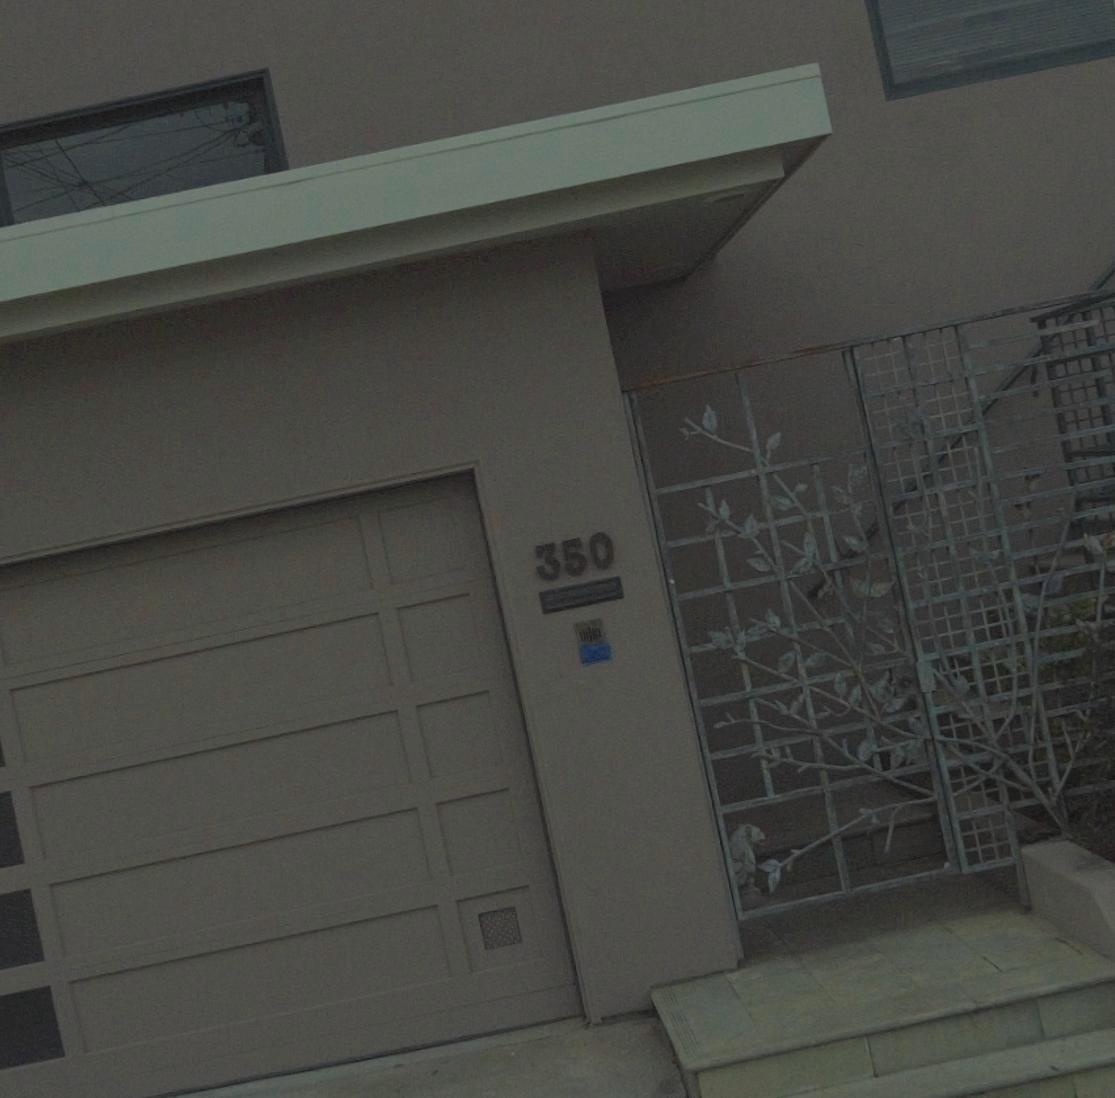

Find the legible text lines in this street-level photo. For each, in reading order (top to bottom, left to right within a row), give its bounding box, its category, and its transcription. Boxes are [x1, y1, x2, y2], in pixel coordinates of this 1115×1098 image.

[533, 529, 621, 585] StreetNumber: 350